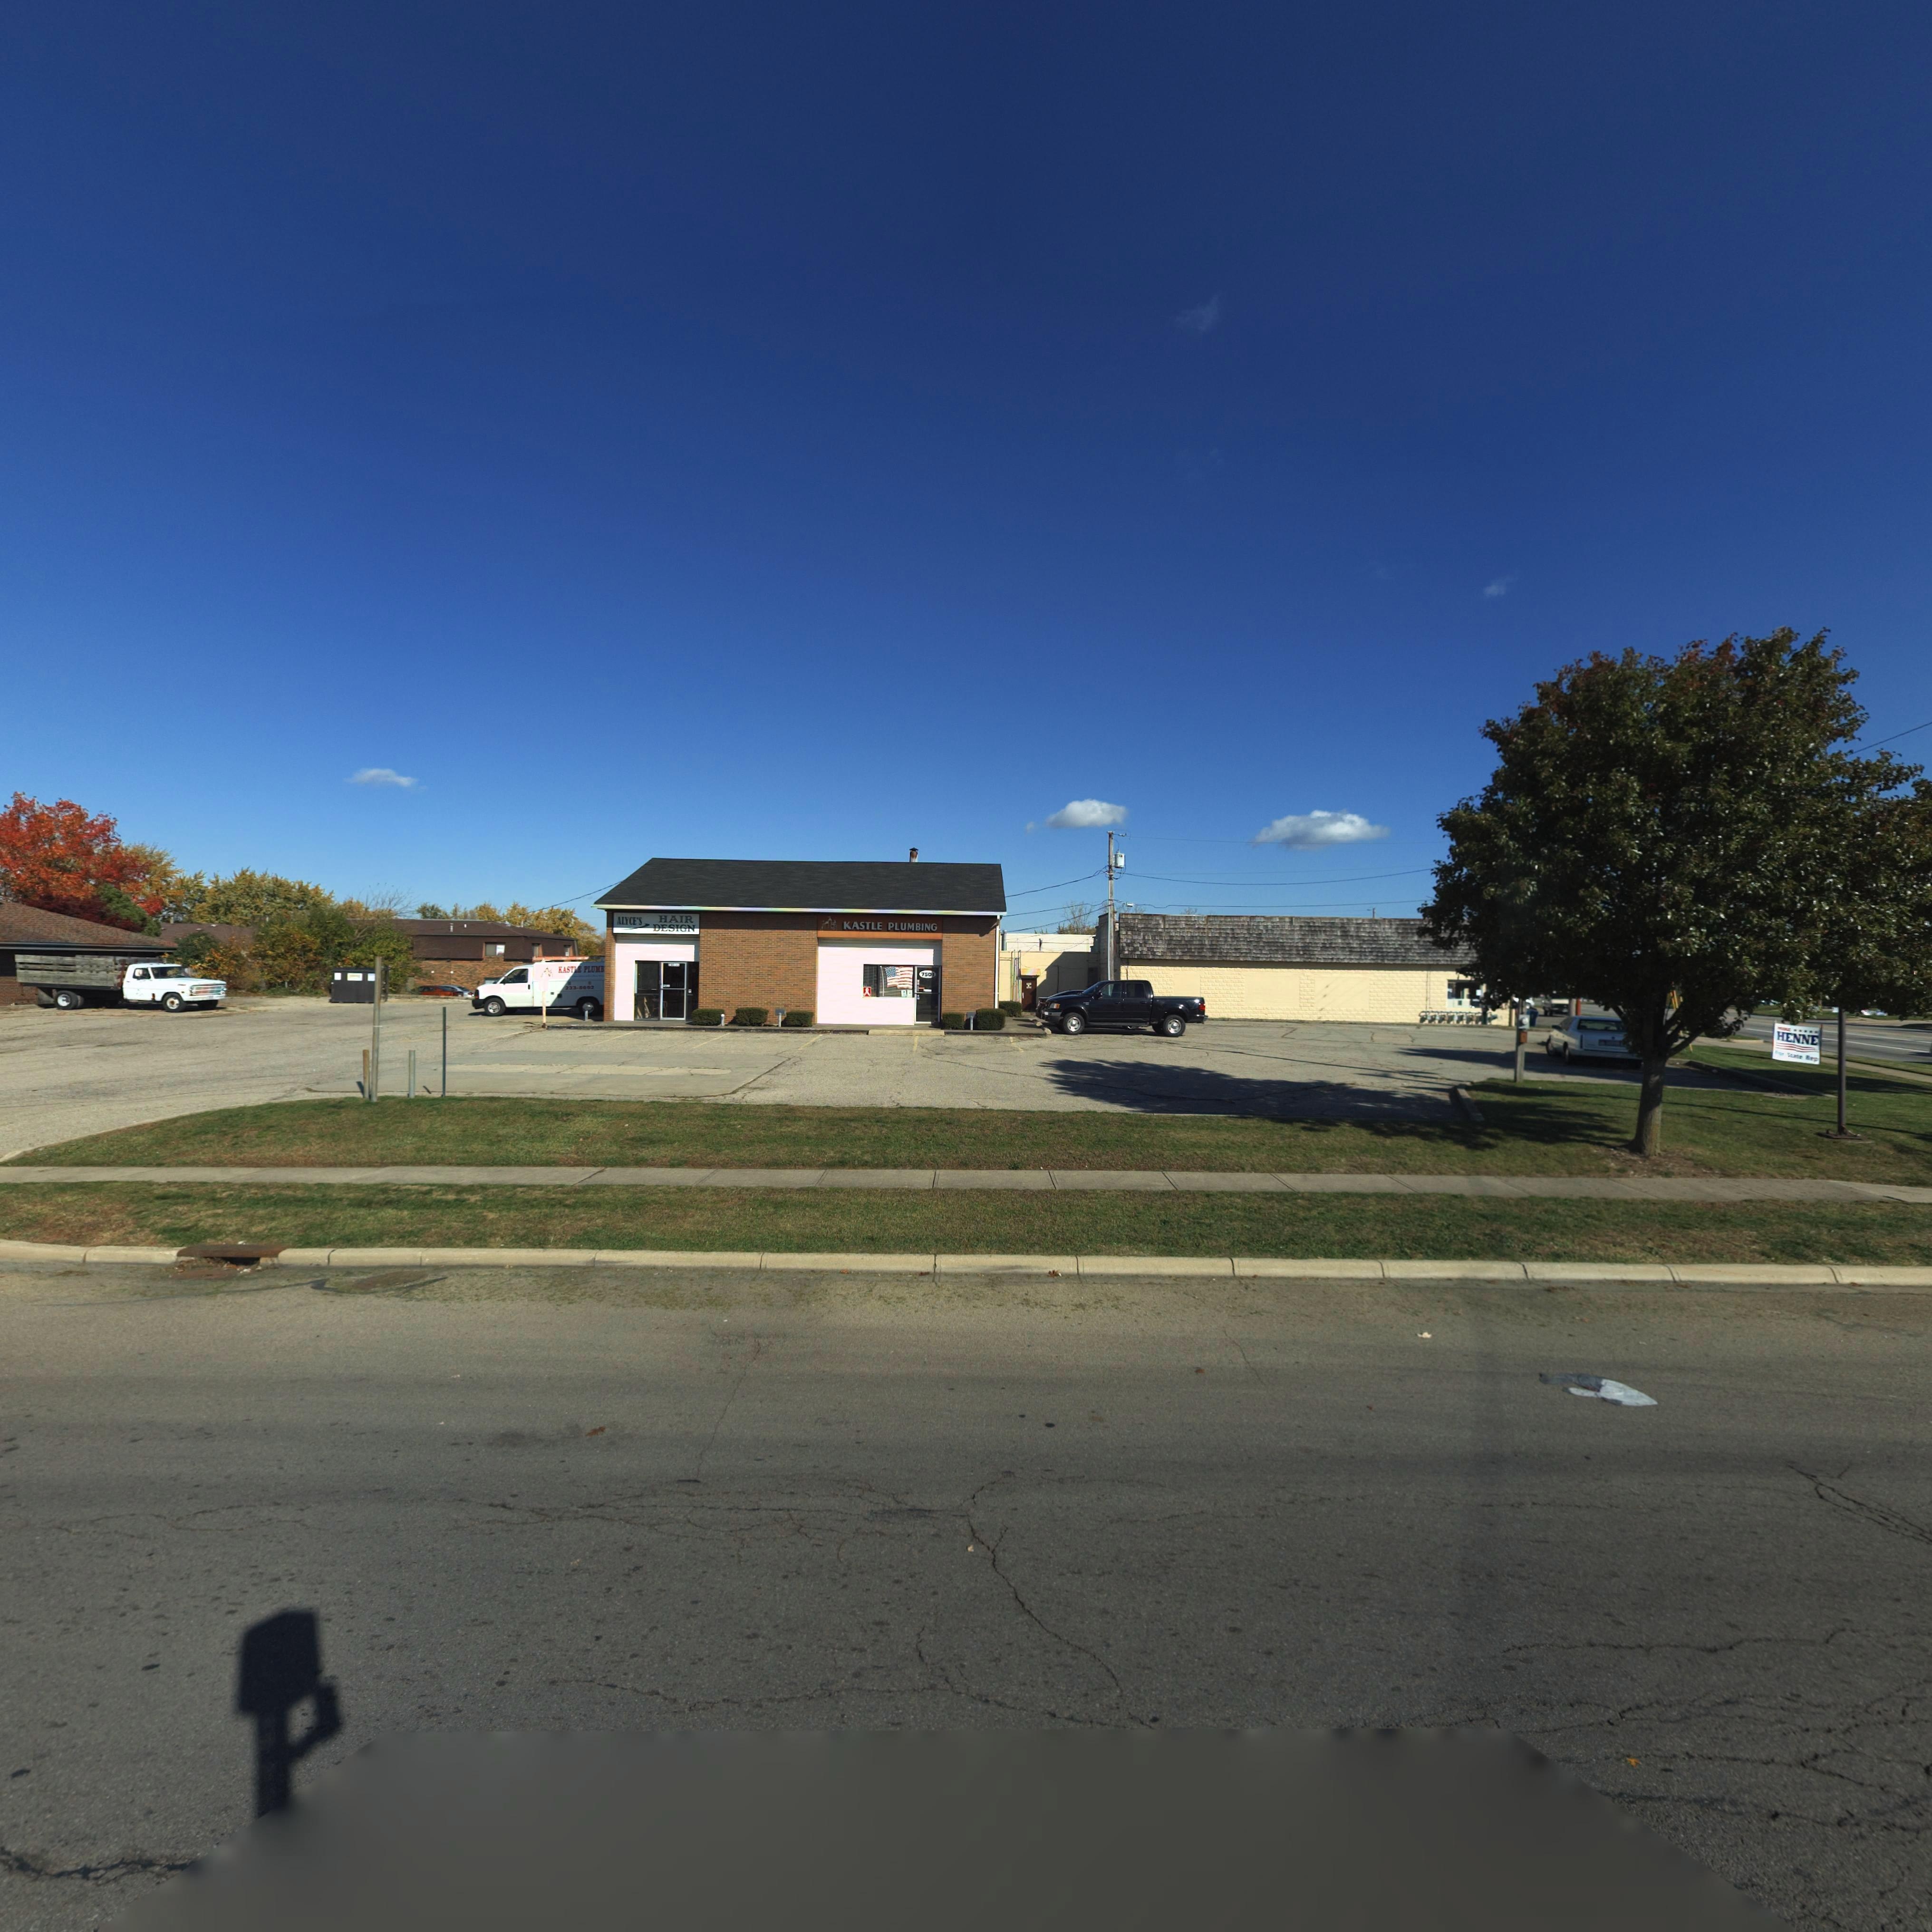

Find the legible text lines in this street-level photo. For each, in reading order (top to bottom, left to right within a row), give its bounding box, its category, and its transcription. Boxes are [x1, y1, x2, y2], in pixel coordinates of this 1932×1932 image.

[616, 916, 643, 926] BusinessName: ALYCE'S
[658, 915, 695, 924] BusinessName: HAIR
[652, 923, 696, 933] BusinessName: DESIGN
[843, 921, 938, 932] BusinessName: KASTLE PLUMBING
[668, 962, 671, 966] StreetNumber: 7
[921, 972, 935, 977] StreetNumber: 7501